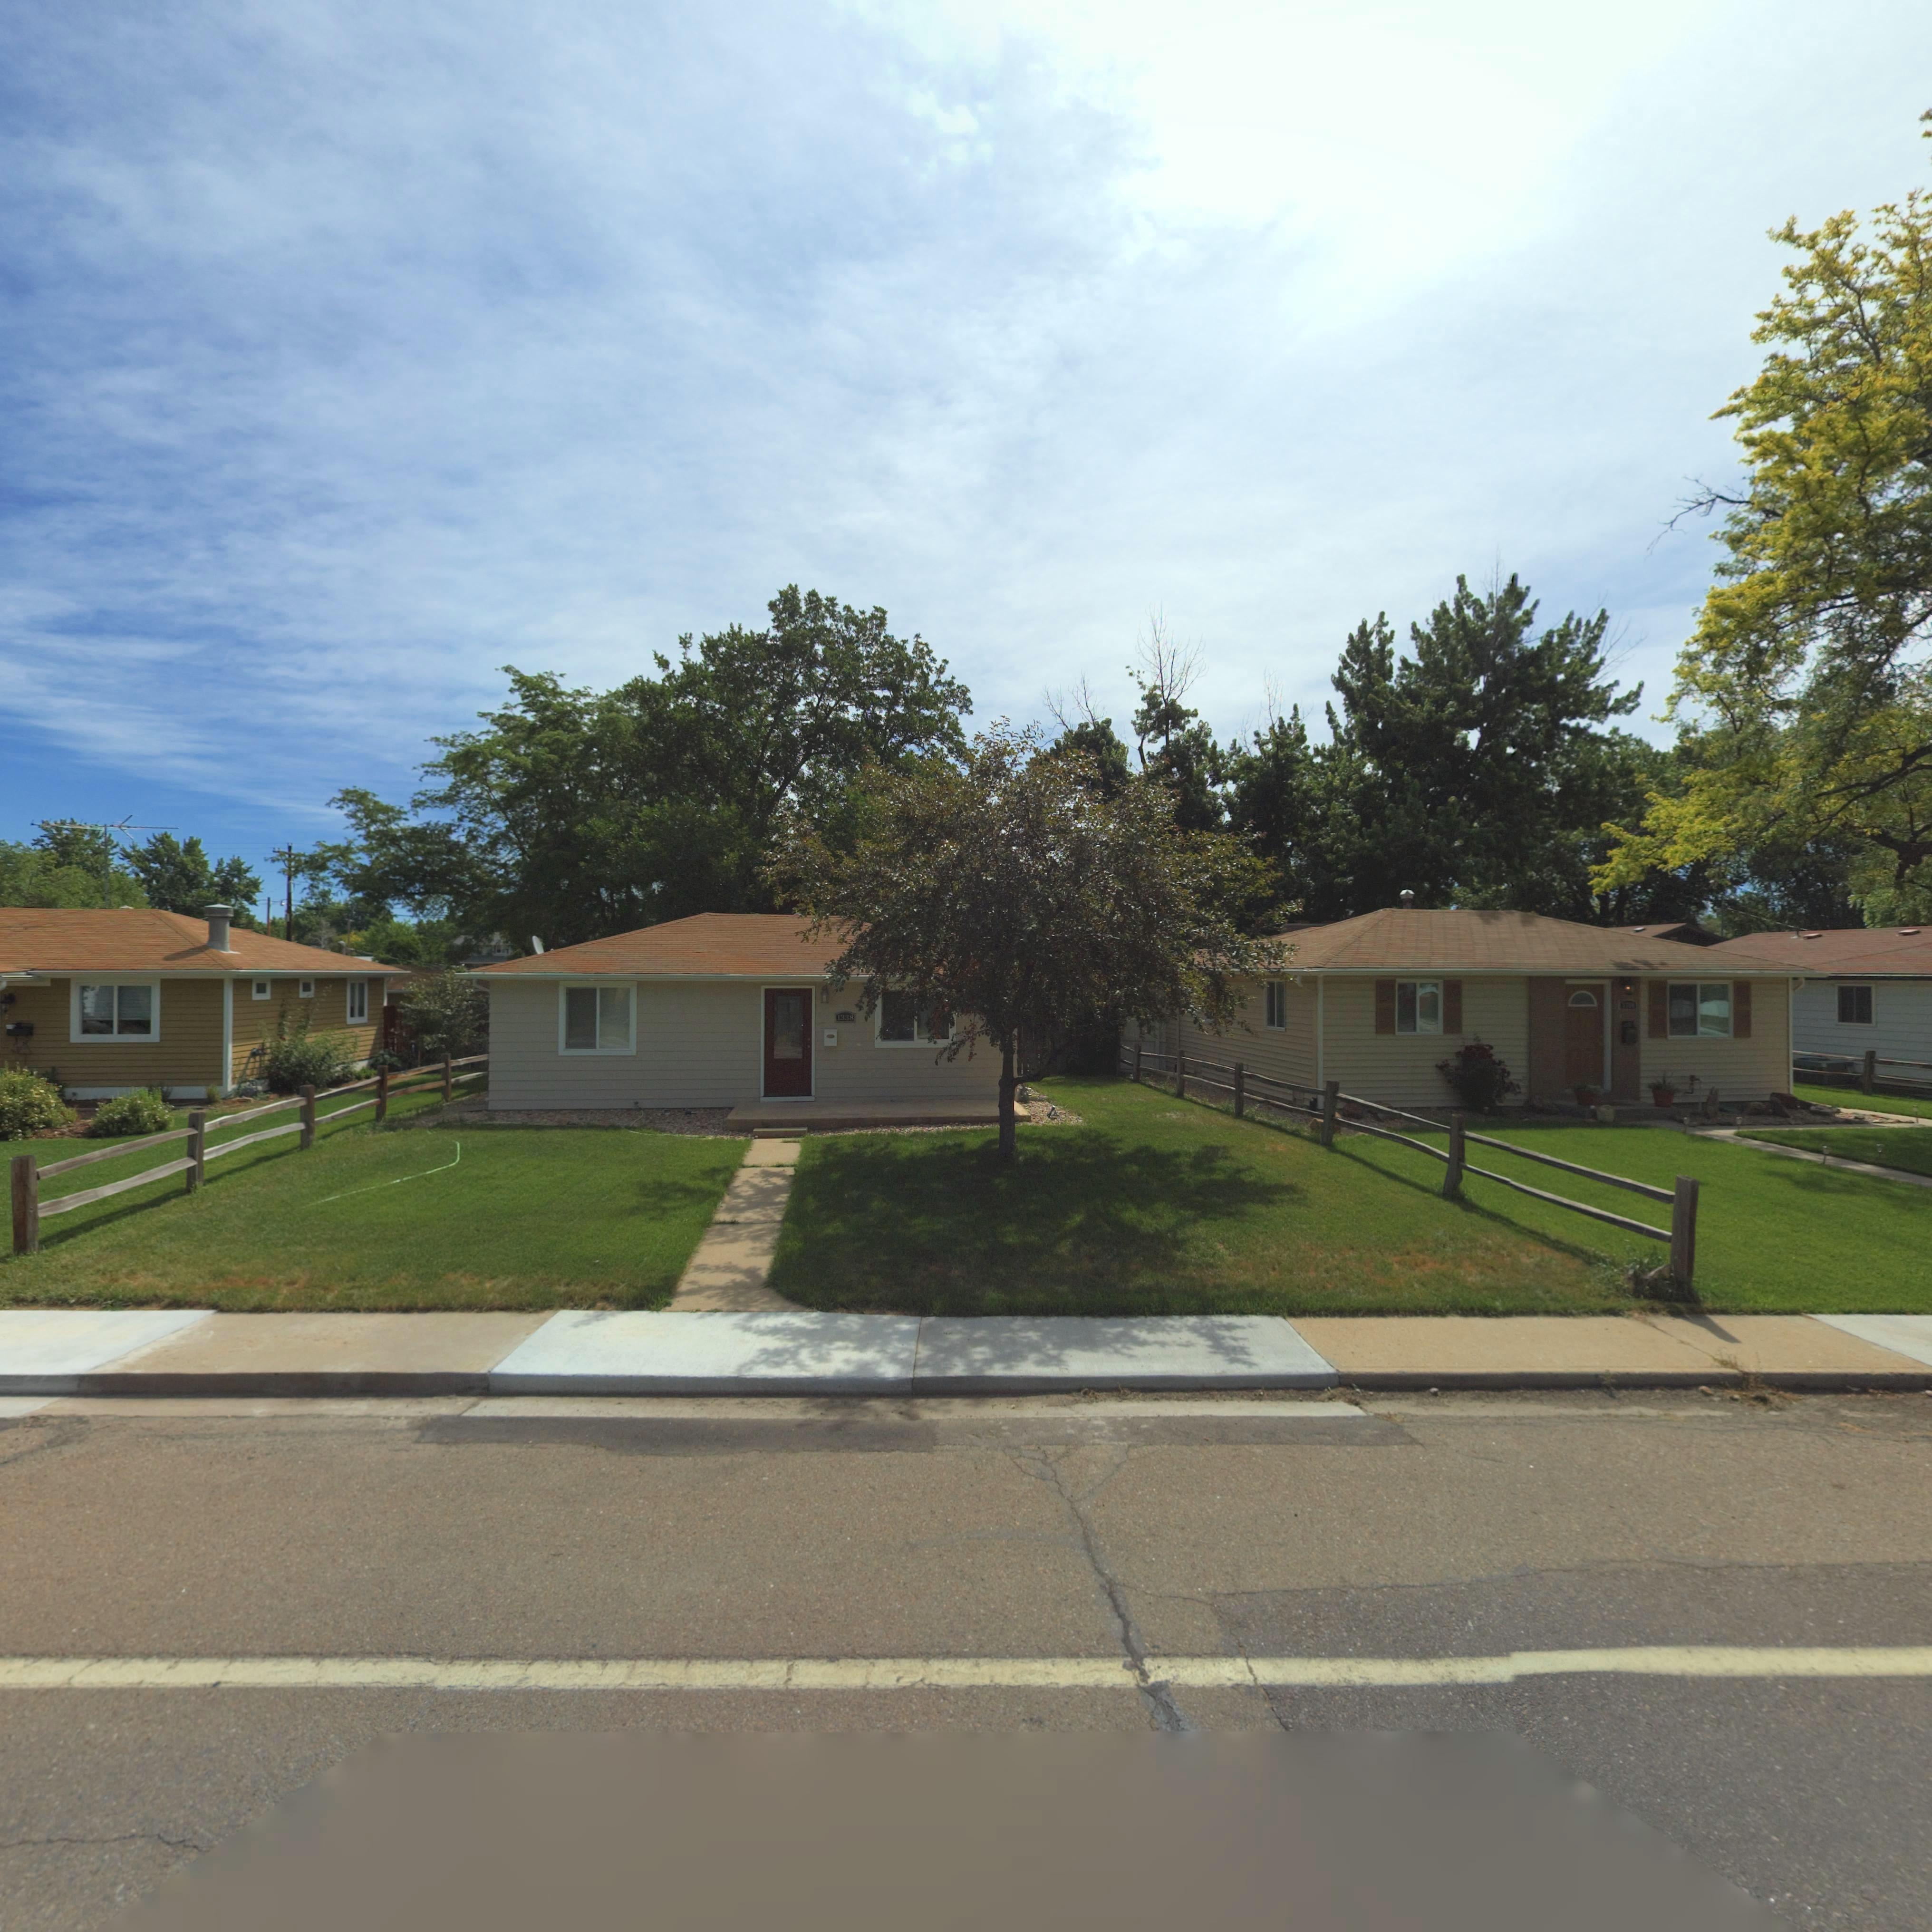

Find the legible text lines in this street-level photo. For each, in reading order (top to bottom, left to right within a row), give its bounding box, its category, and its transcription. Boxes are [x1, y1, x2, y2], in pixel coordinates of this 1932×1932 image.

[837, 1014, 854, 1021] StreetNumber: 1338